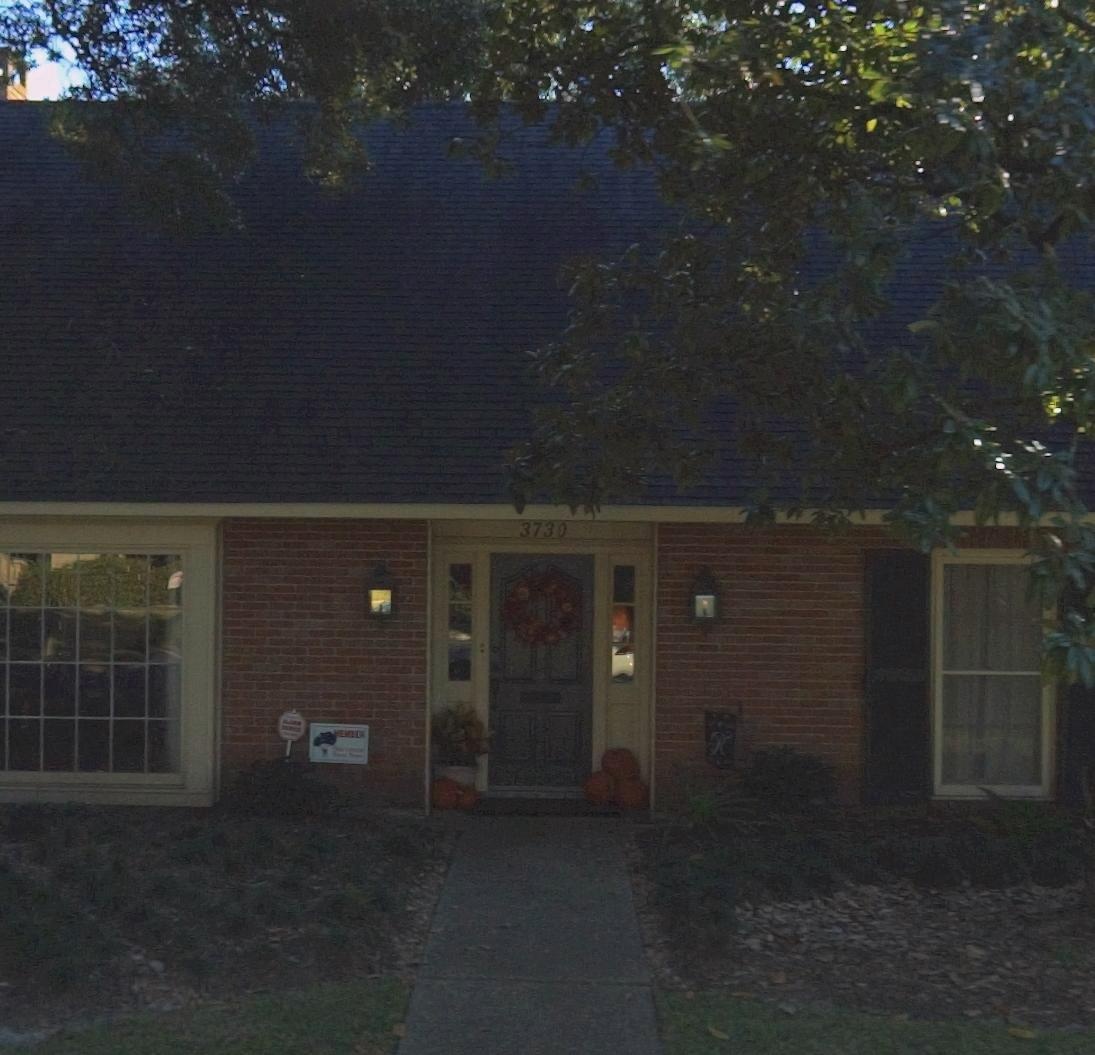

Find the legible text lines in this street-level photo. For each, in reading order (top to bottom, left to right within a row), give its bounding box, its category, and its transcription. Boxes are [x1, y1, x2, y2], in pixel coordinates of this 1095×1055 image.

[516, 520, 569, 540] StreetNumber: 3730